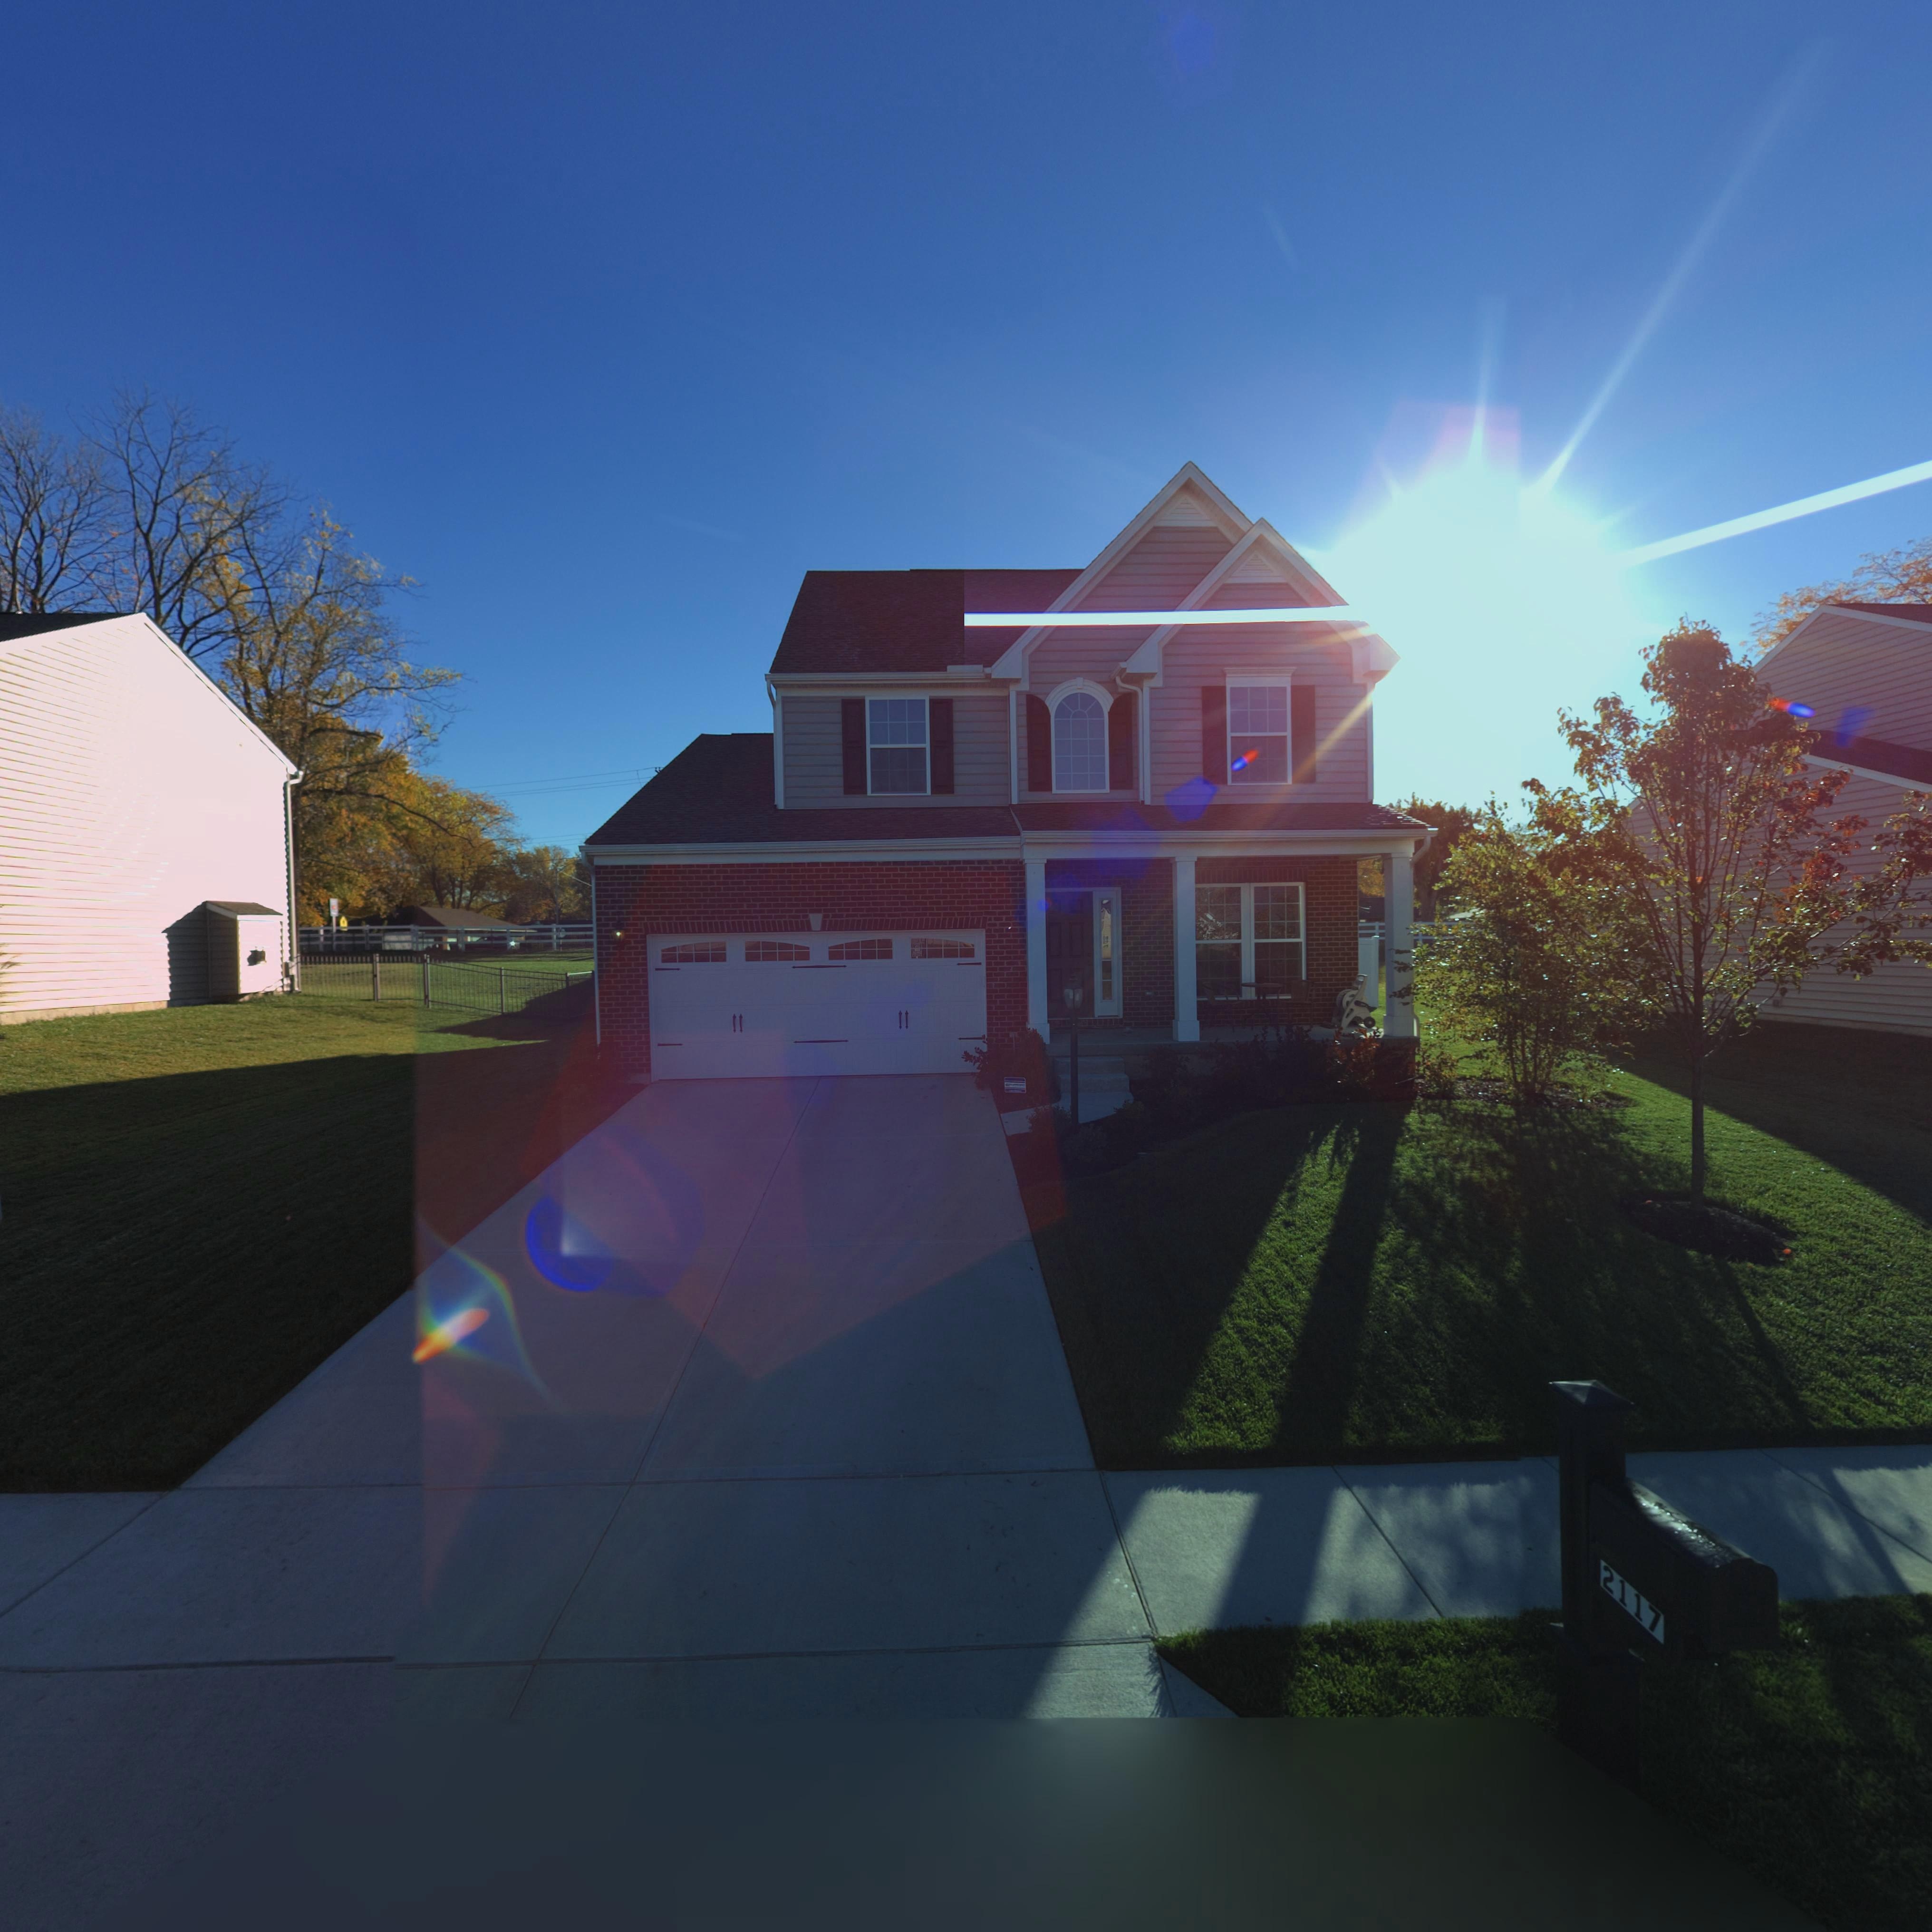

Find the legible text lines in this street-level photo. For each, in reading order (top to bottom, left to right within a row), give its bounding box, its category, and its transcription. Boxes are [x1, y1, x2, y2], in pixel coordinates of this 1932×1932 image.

[1599, 1562, 1666, 1635] StreetNumber: 2117